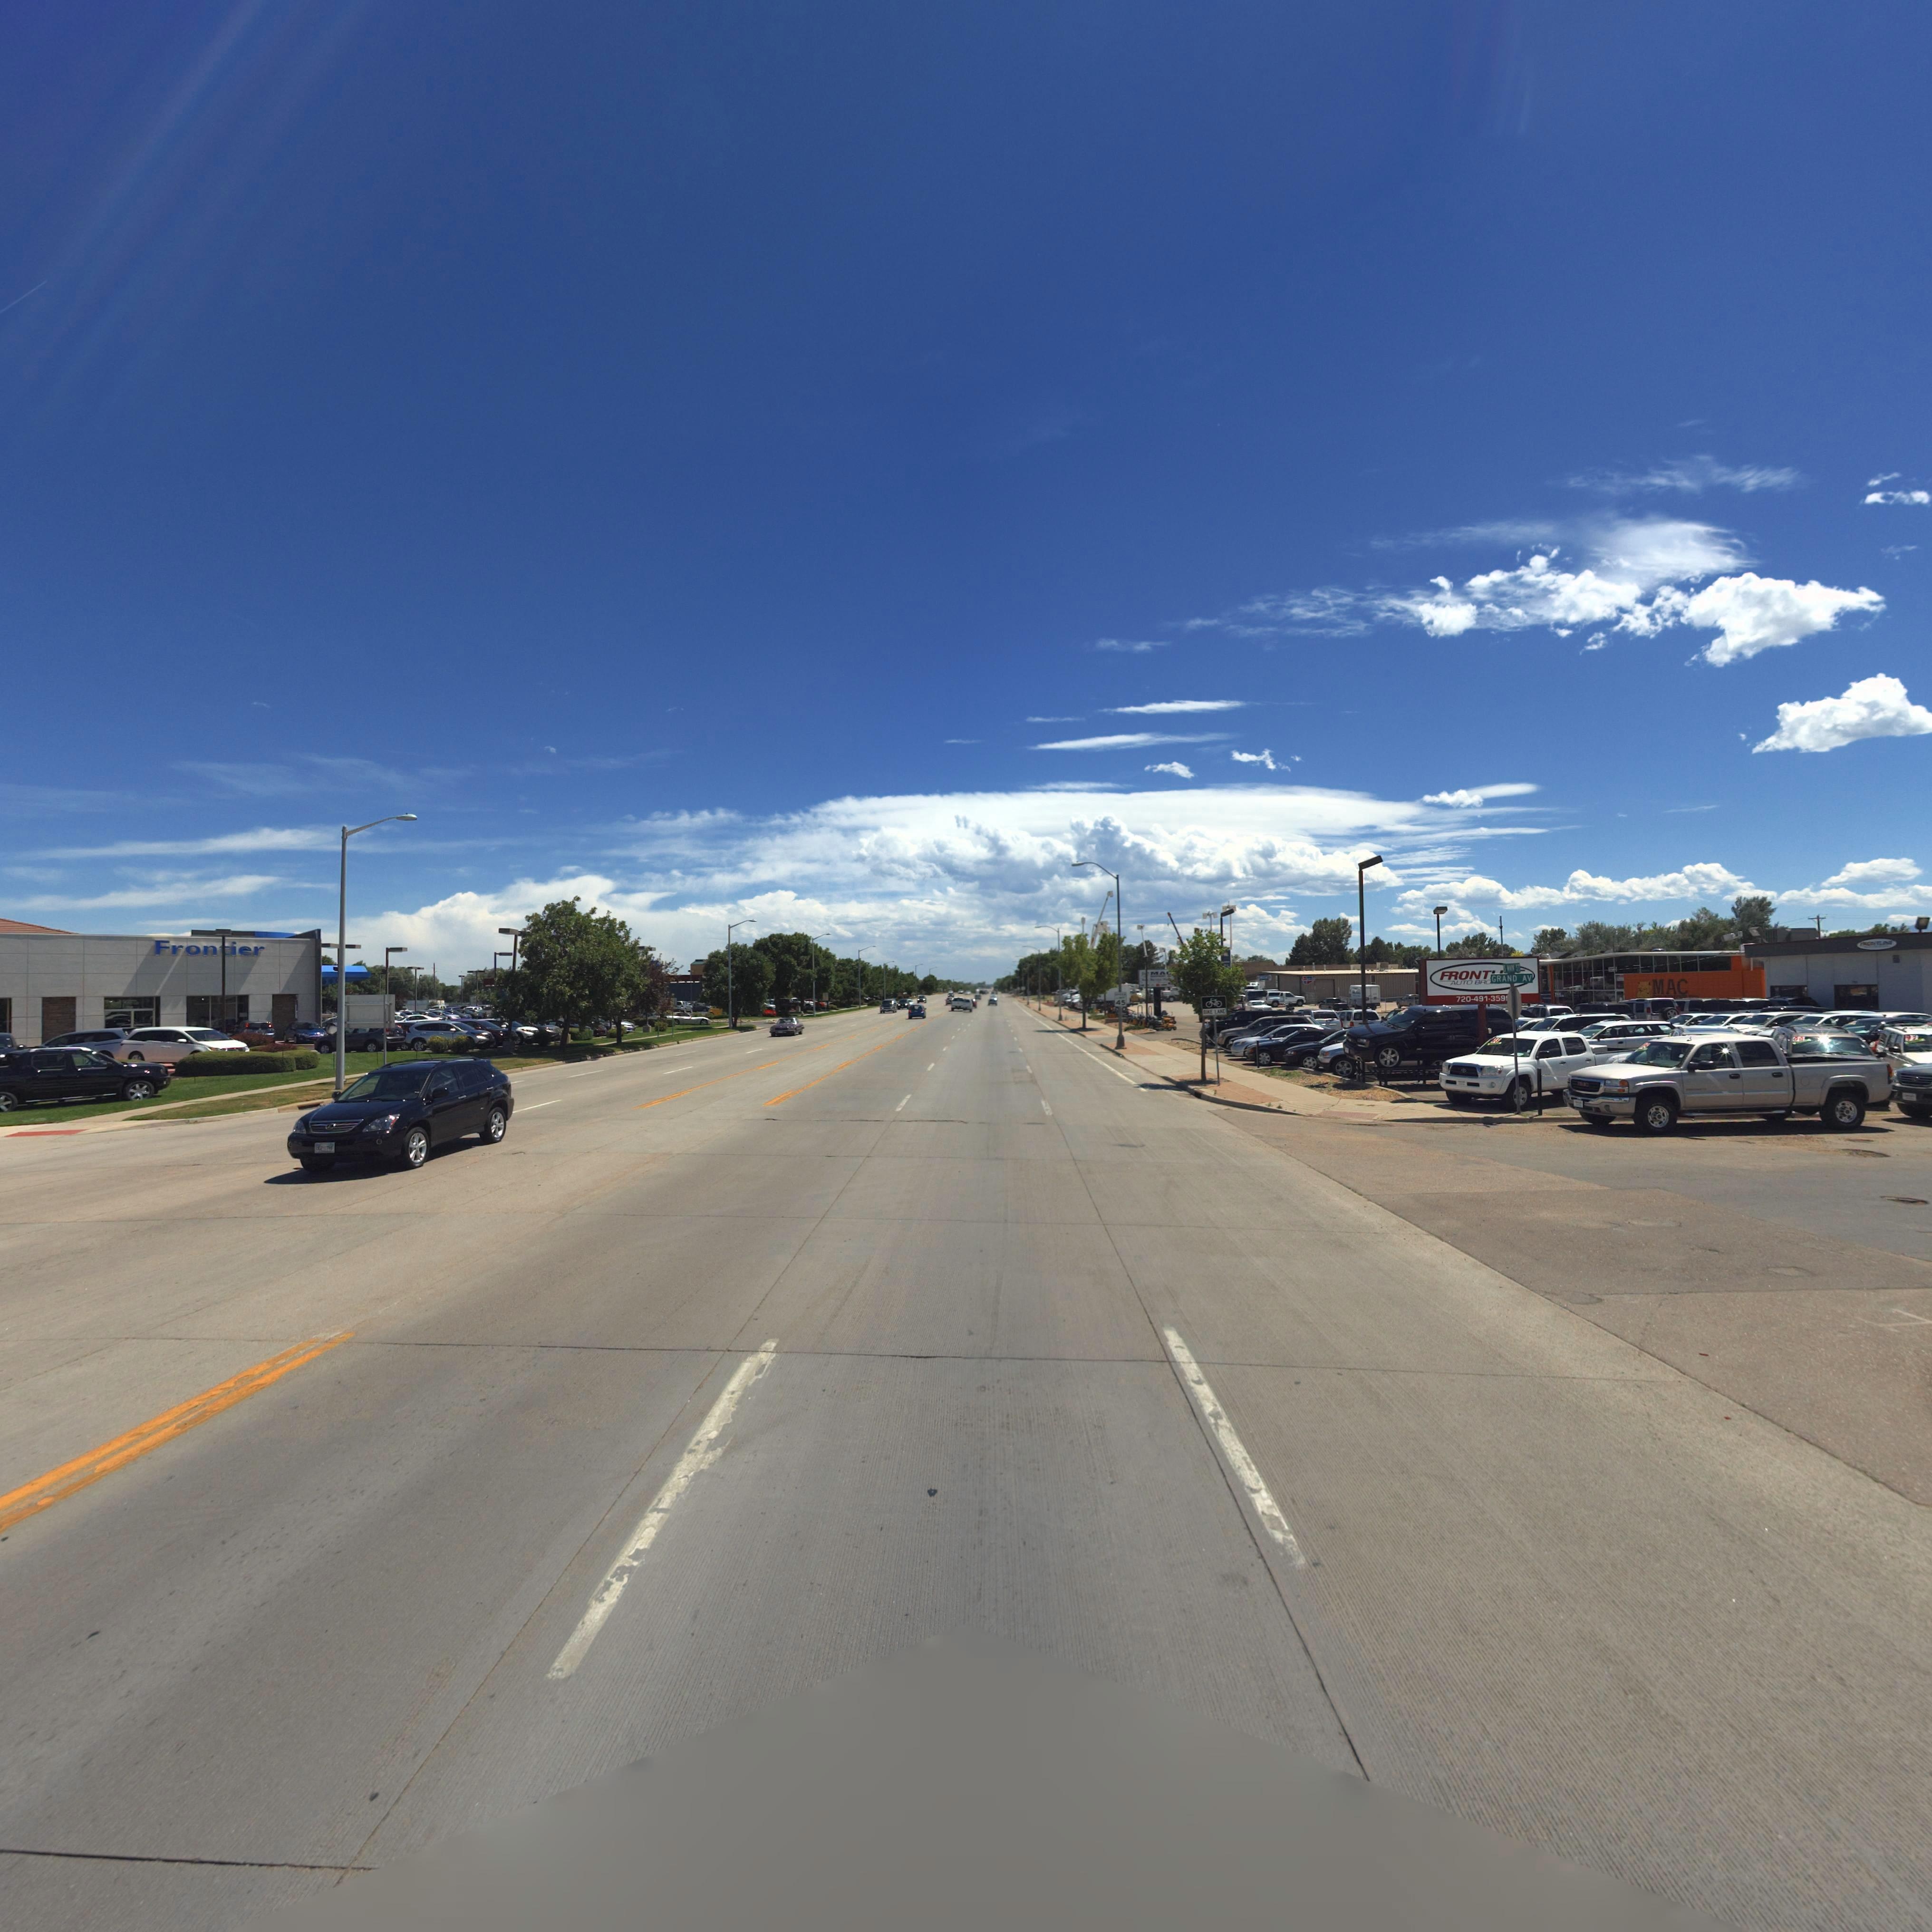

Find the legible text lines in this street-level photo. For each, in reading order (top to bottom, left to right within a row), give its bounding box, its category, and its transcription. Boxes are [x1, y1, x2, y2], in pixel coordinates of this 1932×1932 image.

[1859, 940, 1893, 947] BusinessName: FRONTLINE
[155, 939, 265, 956] BusinessName: Fron*ier
[1503, 964, 1520, 972] StreetName: S MAIN ST
[1150, 971, 1172, 975] BusinessName: MAC
[1302, 977, 1316, 981] BusinessName: CA******
[1449, 980, 1492, 985] BusinessName: AUTO BRO
[1438, 969, 1526, 980] BusinessName: FRONT****
[1491, 974, 1532, 982] StreetName: GRAND AV
[1652, 978, 1689, 995] BusinessName: MAC